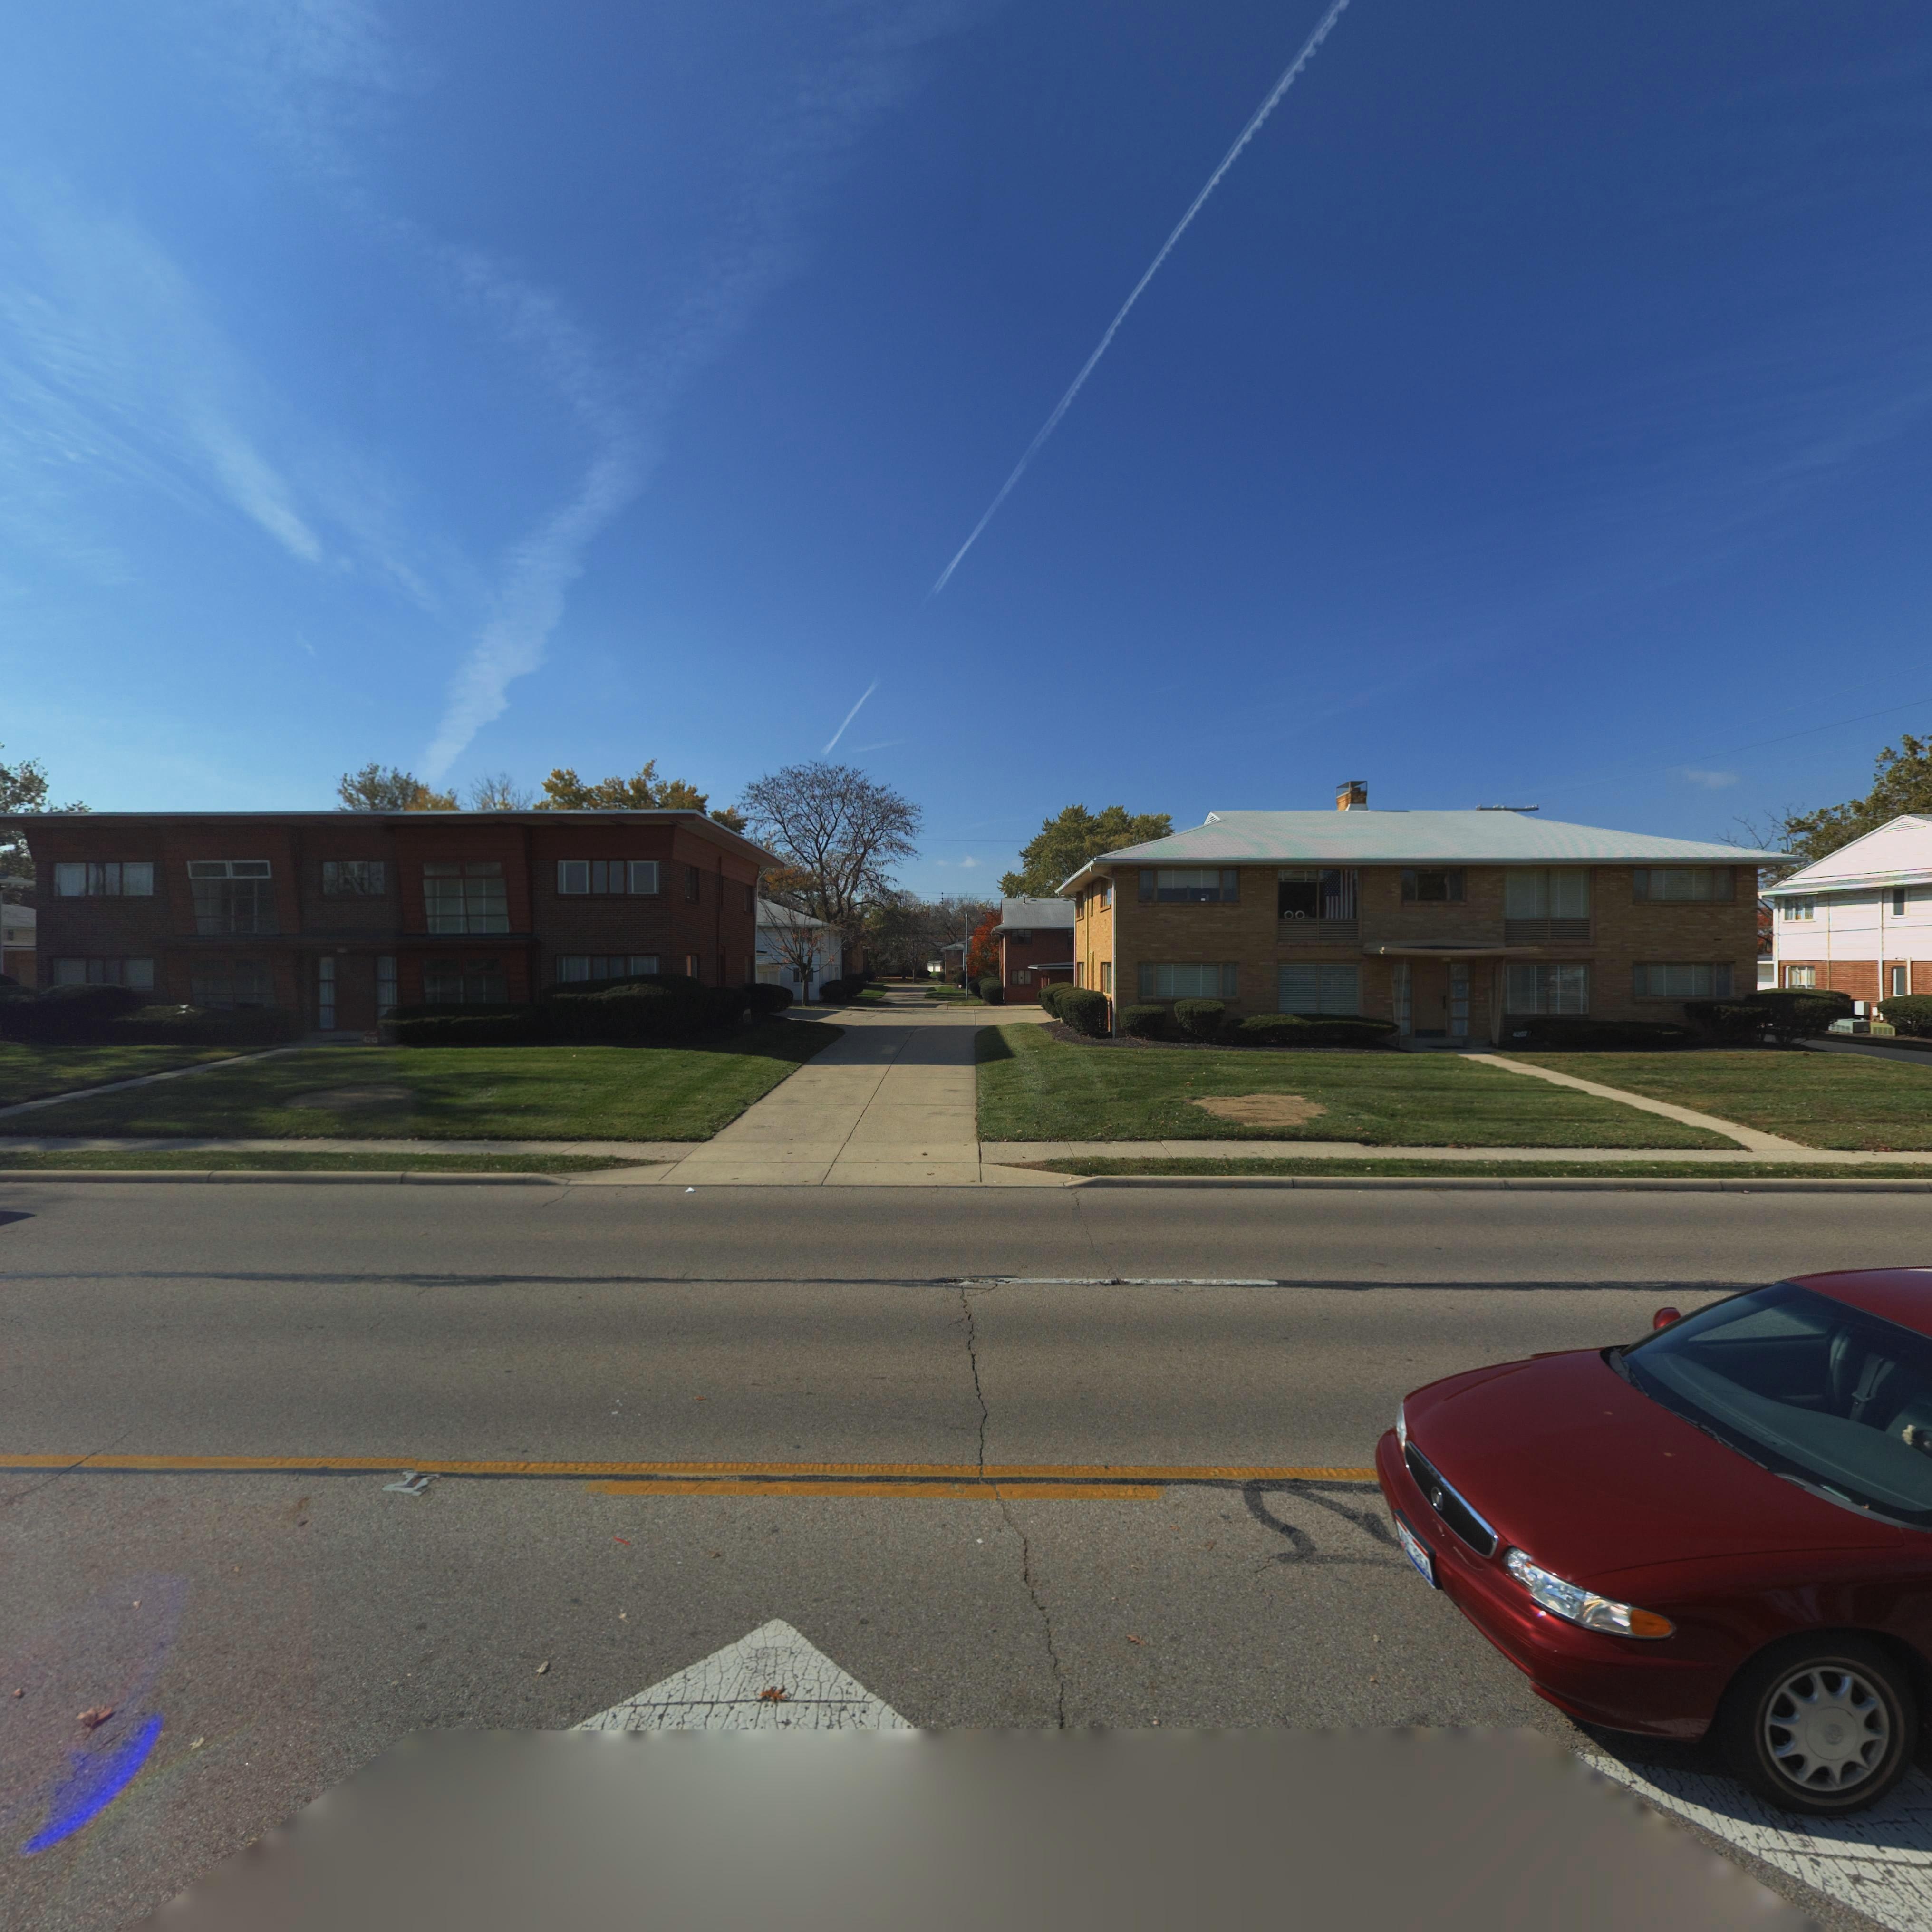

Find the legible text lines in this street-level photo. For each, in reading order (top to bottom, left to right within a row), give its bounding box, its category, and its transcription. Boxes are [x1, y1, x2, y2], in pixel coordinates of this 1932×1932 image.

[1512, 1031, 1528, 1038] StreetNumber: 4207
[362, 1035, 378, 1043] StreetNumber: 4213